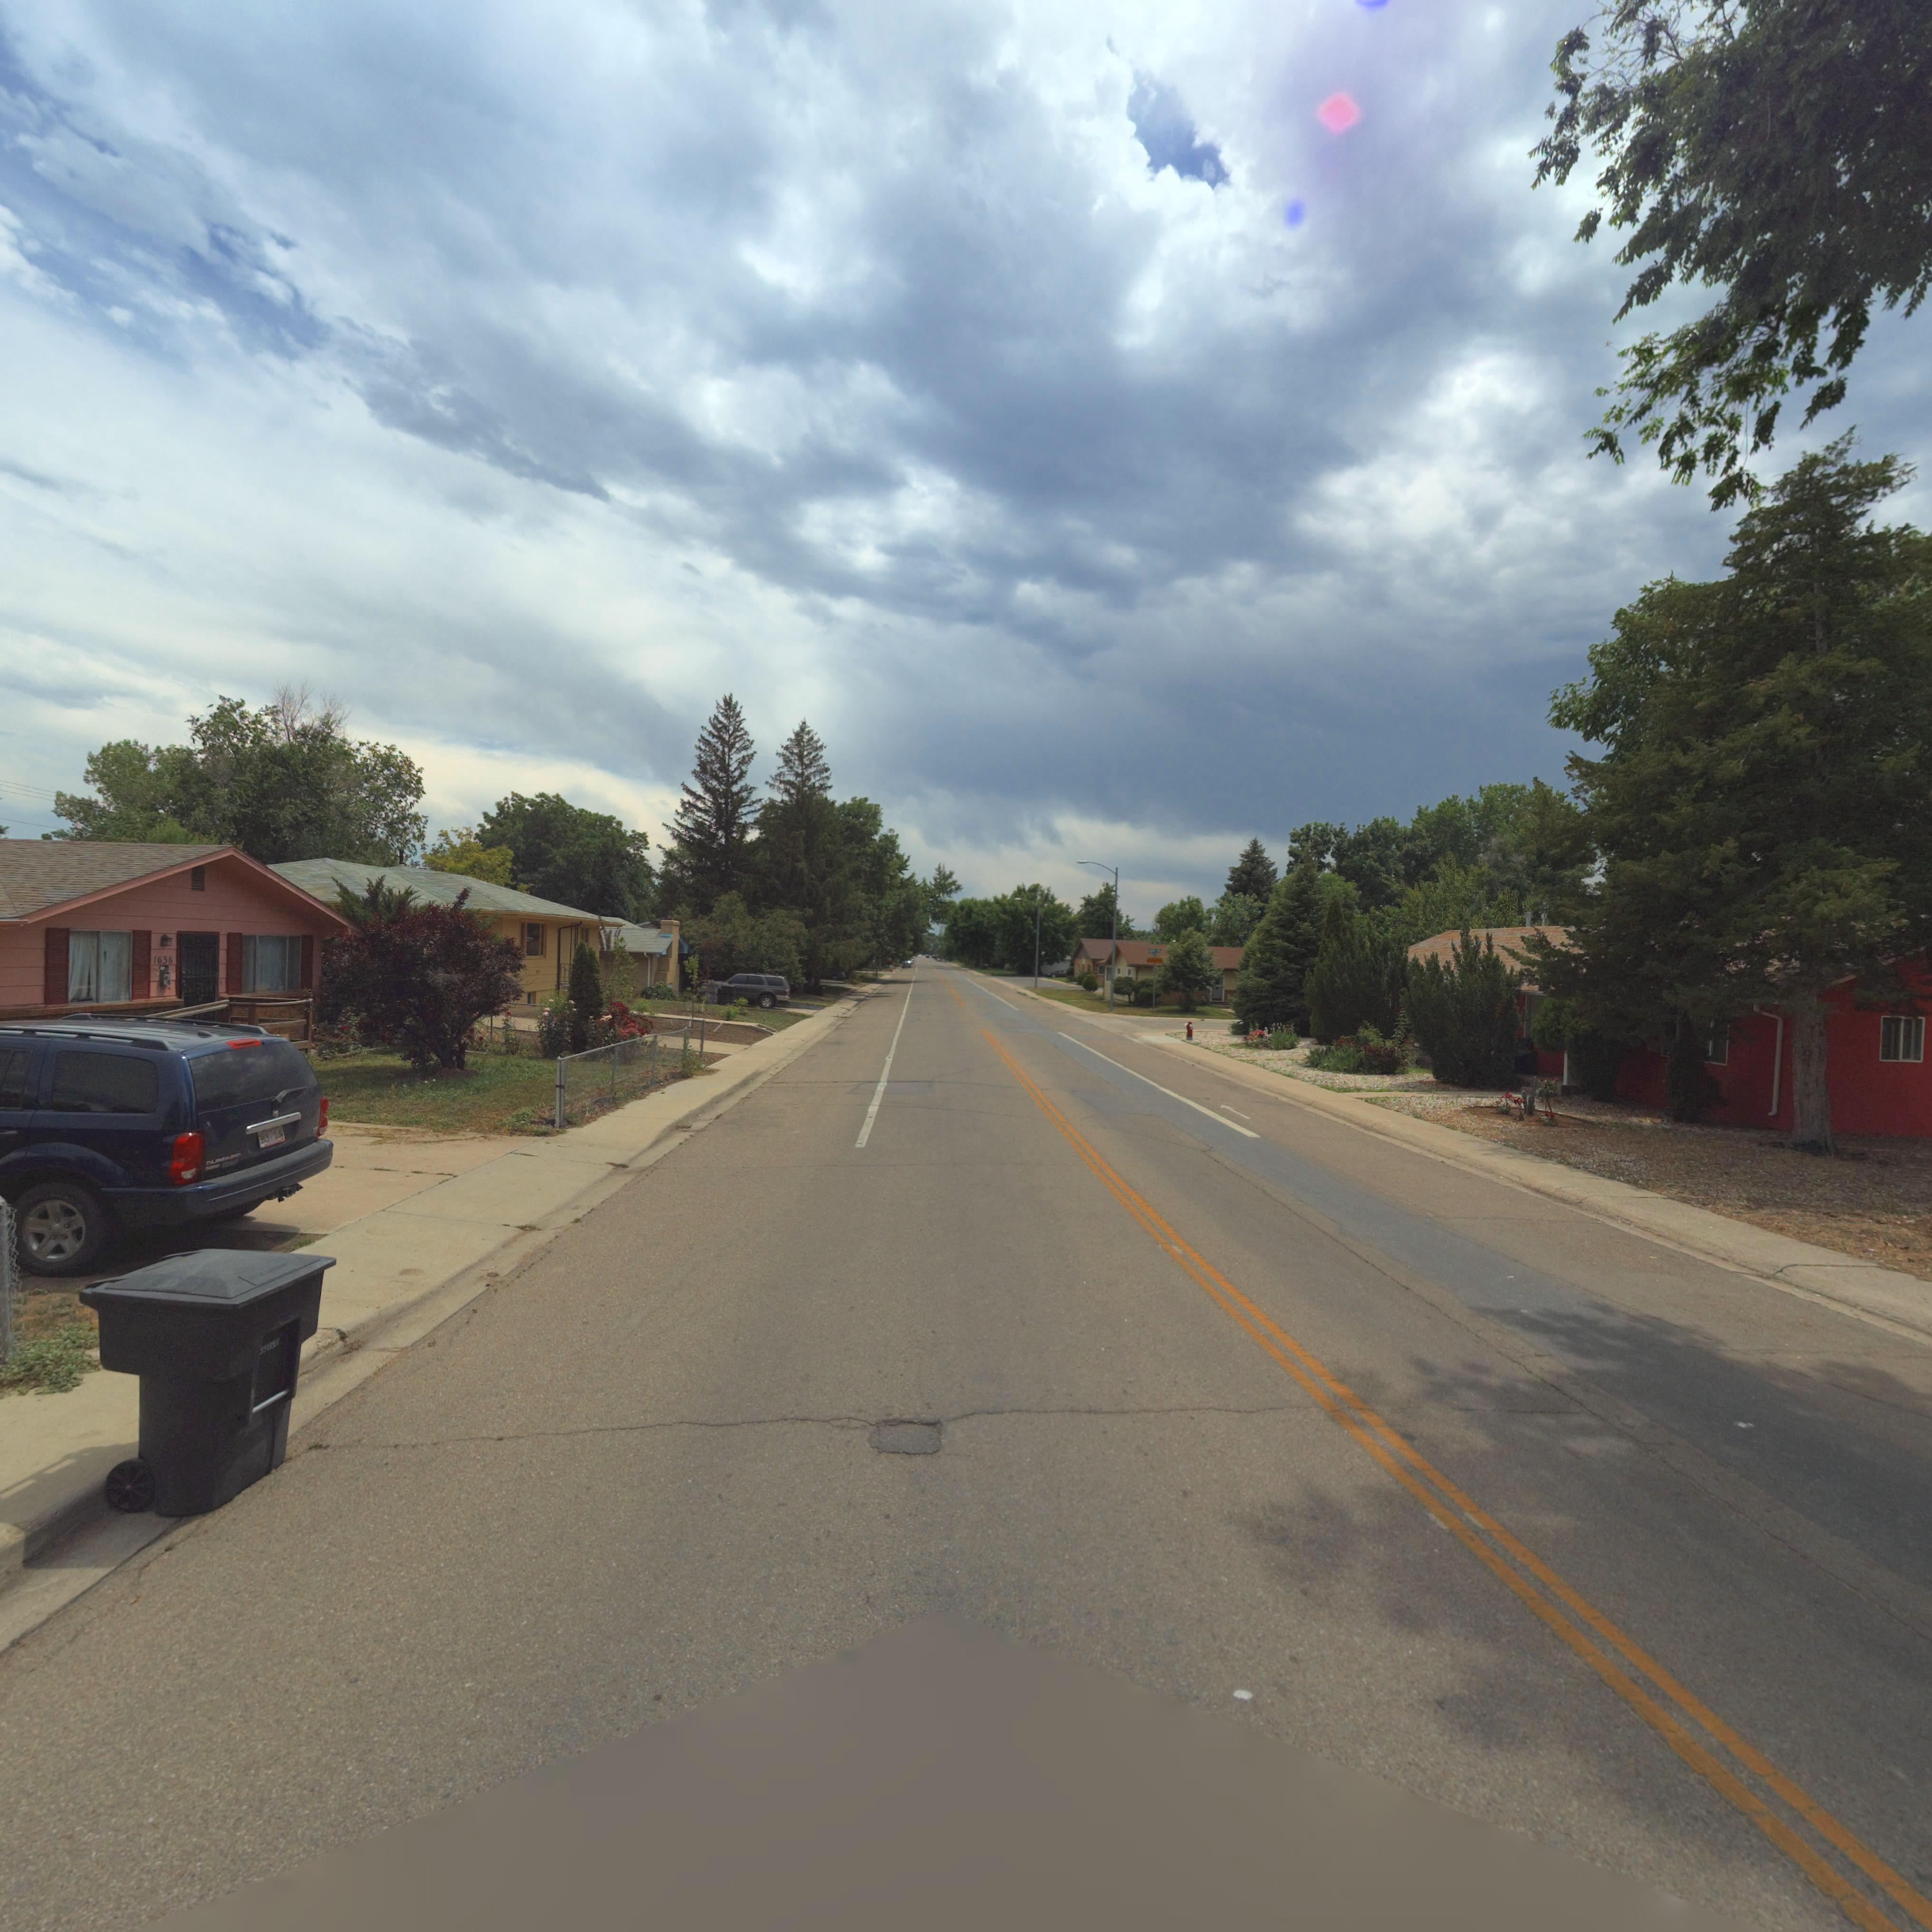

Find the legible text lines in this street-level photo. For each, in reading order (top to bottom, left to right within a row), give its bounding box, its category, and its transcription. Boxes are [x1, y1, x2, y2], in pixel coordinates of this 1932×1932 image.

[153, 956, 173, 965] StreetNumber: 1638